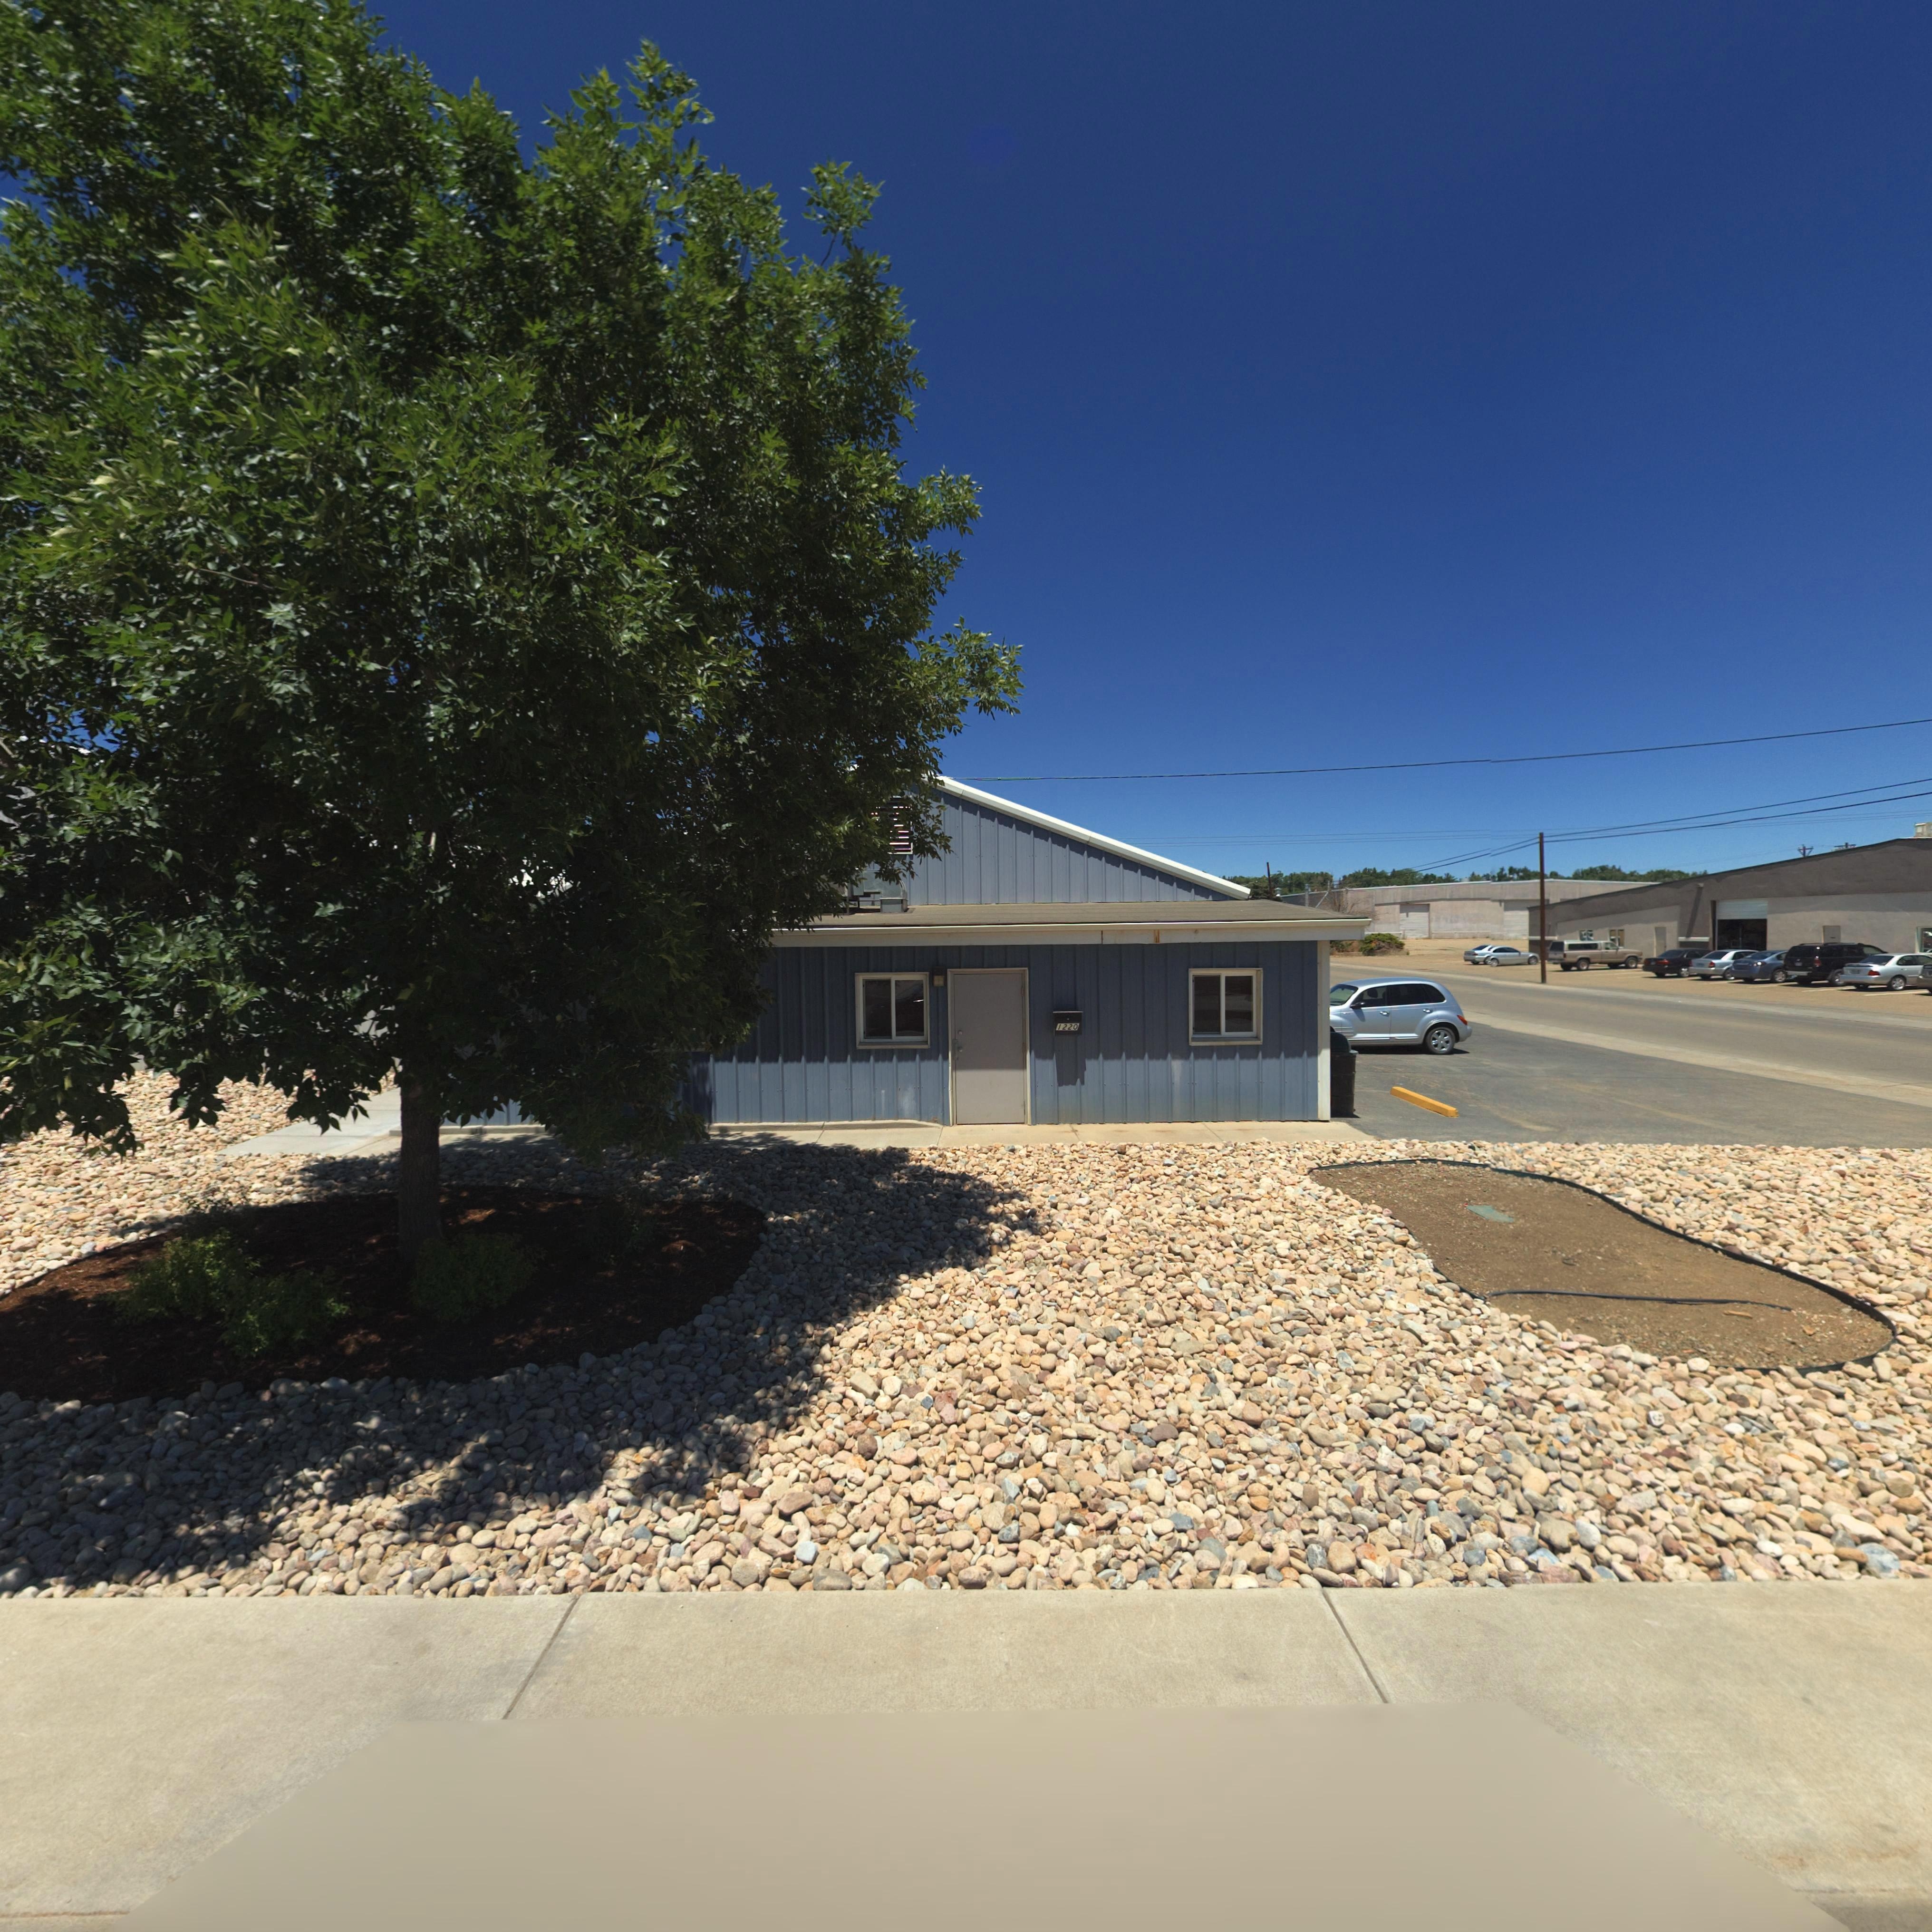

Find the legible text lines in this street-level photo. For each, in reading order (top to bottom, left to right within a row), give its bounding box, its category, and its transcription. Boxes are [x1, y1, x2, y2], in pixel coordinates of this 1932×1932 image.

[1057, 1024, 1078, 1030] StreetNumber: 1220